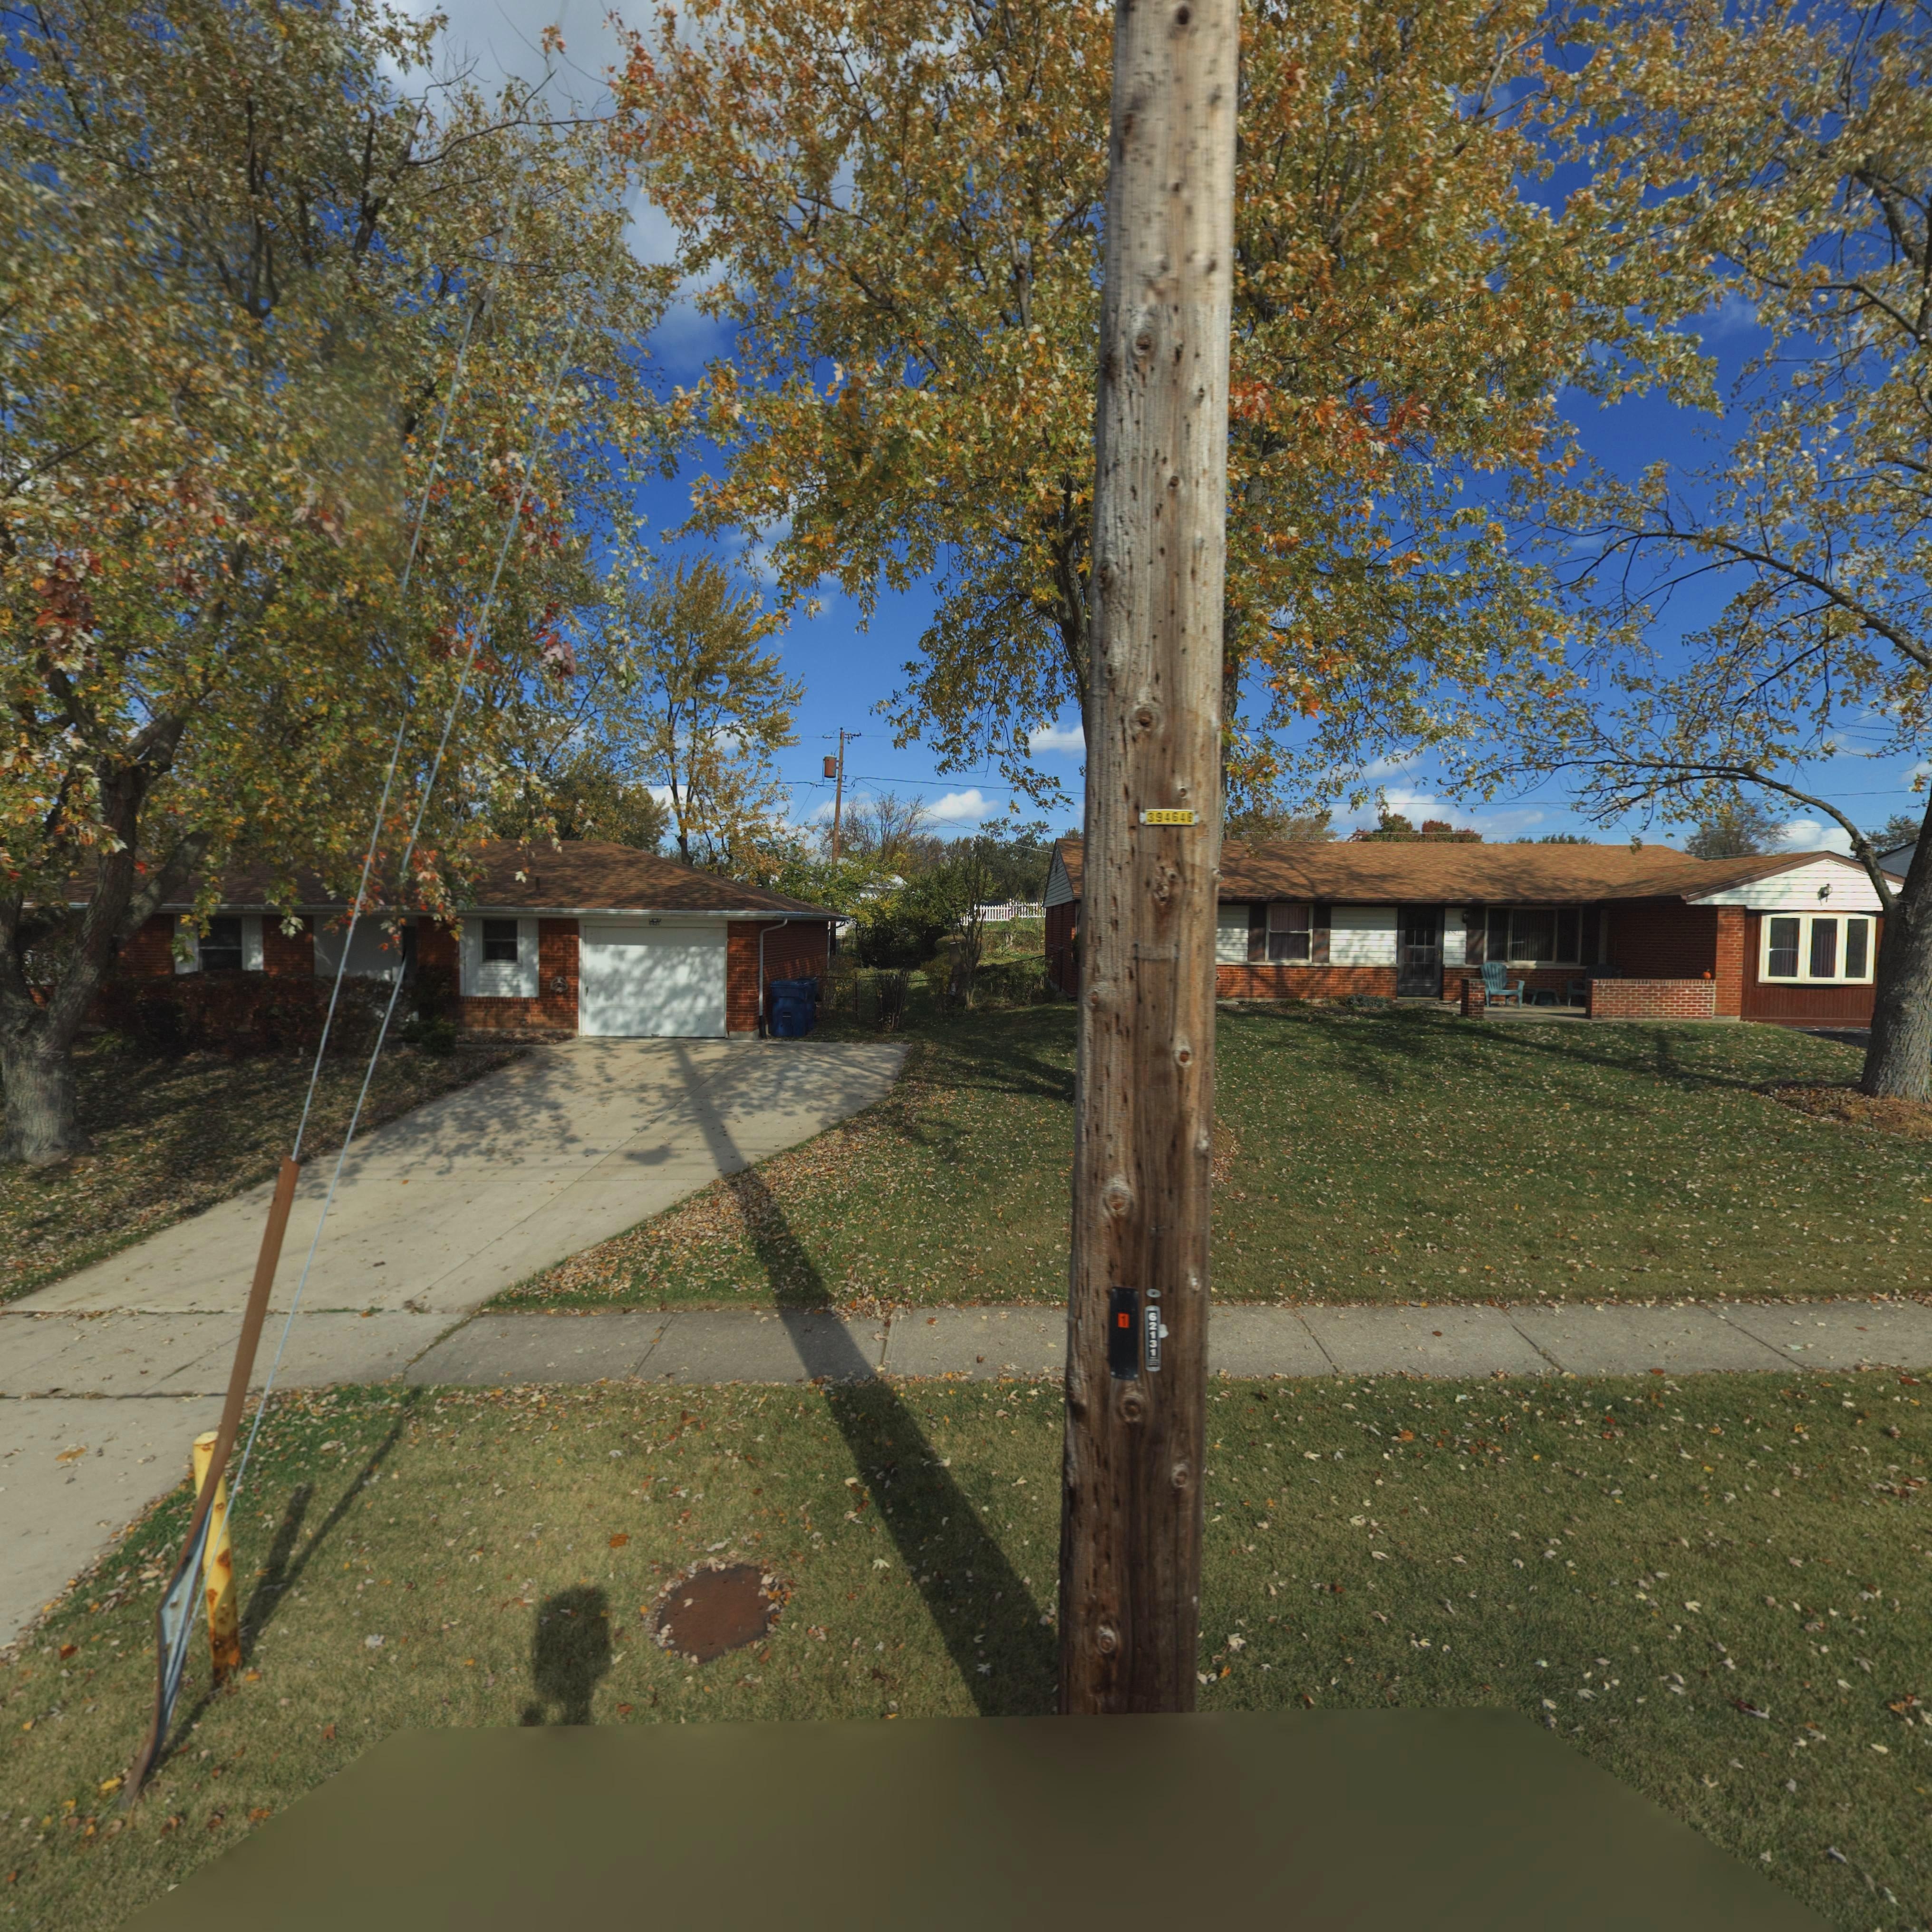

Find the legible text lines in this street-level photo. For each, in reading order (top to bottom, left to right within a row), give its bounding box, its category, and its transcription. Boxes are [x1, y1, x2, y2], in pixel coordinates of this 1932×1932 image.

[648, 921, 660, 926] StreetNumber: 6**1
[1447, 929, 1460, 935] StreetNumber: 6501